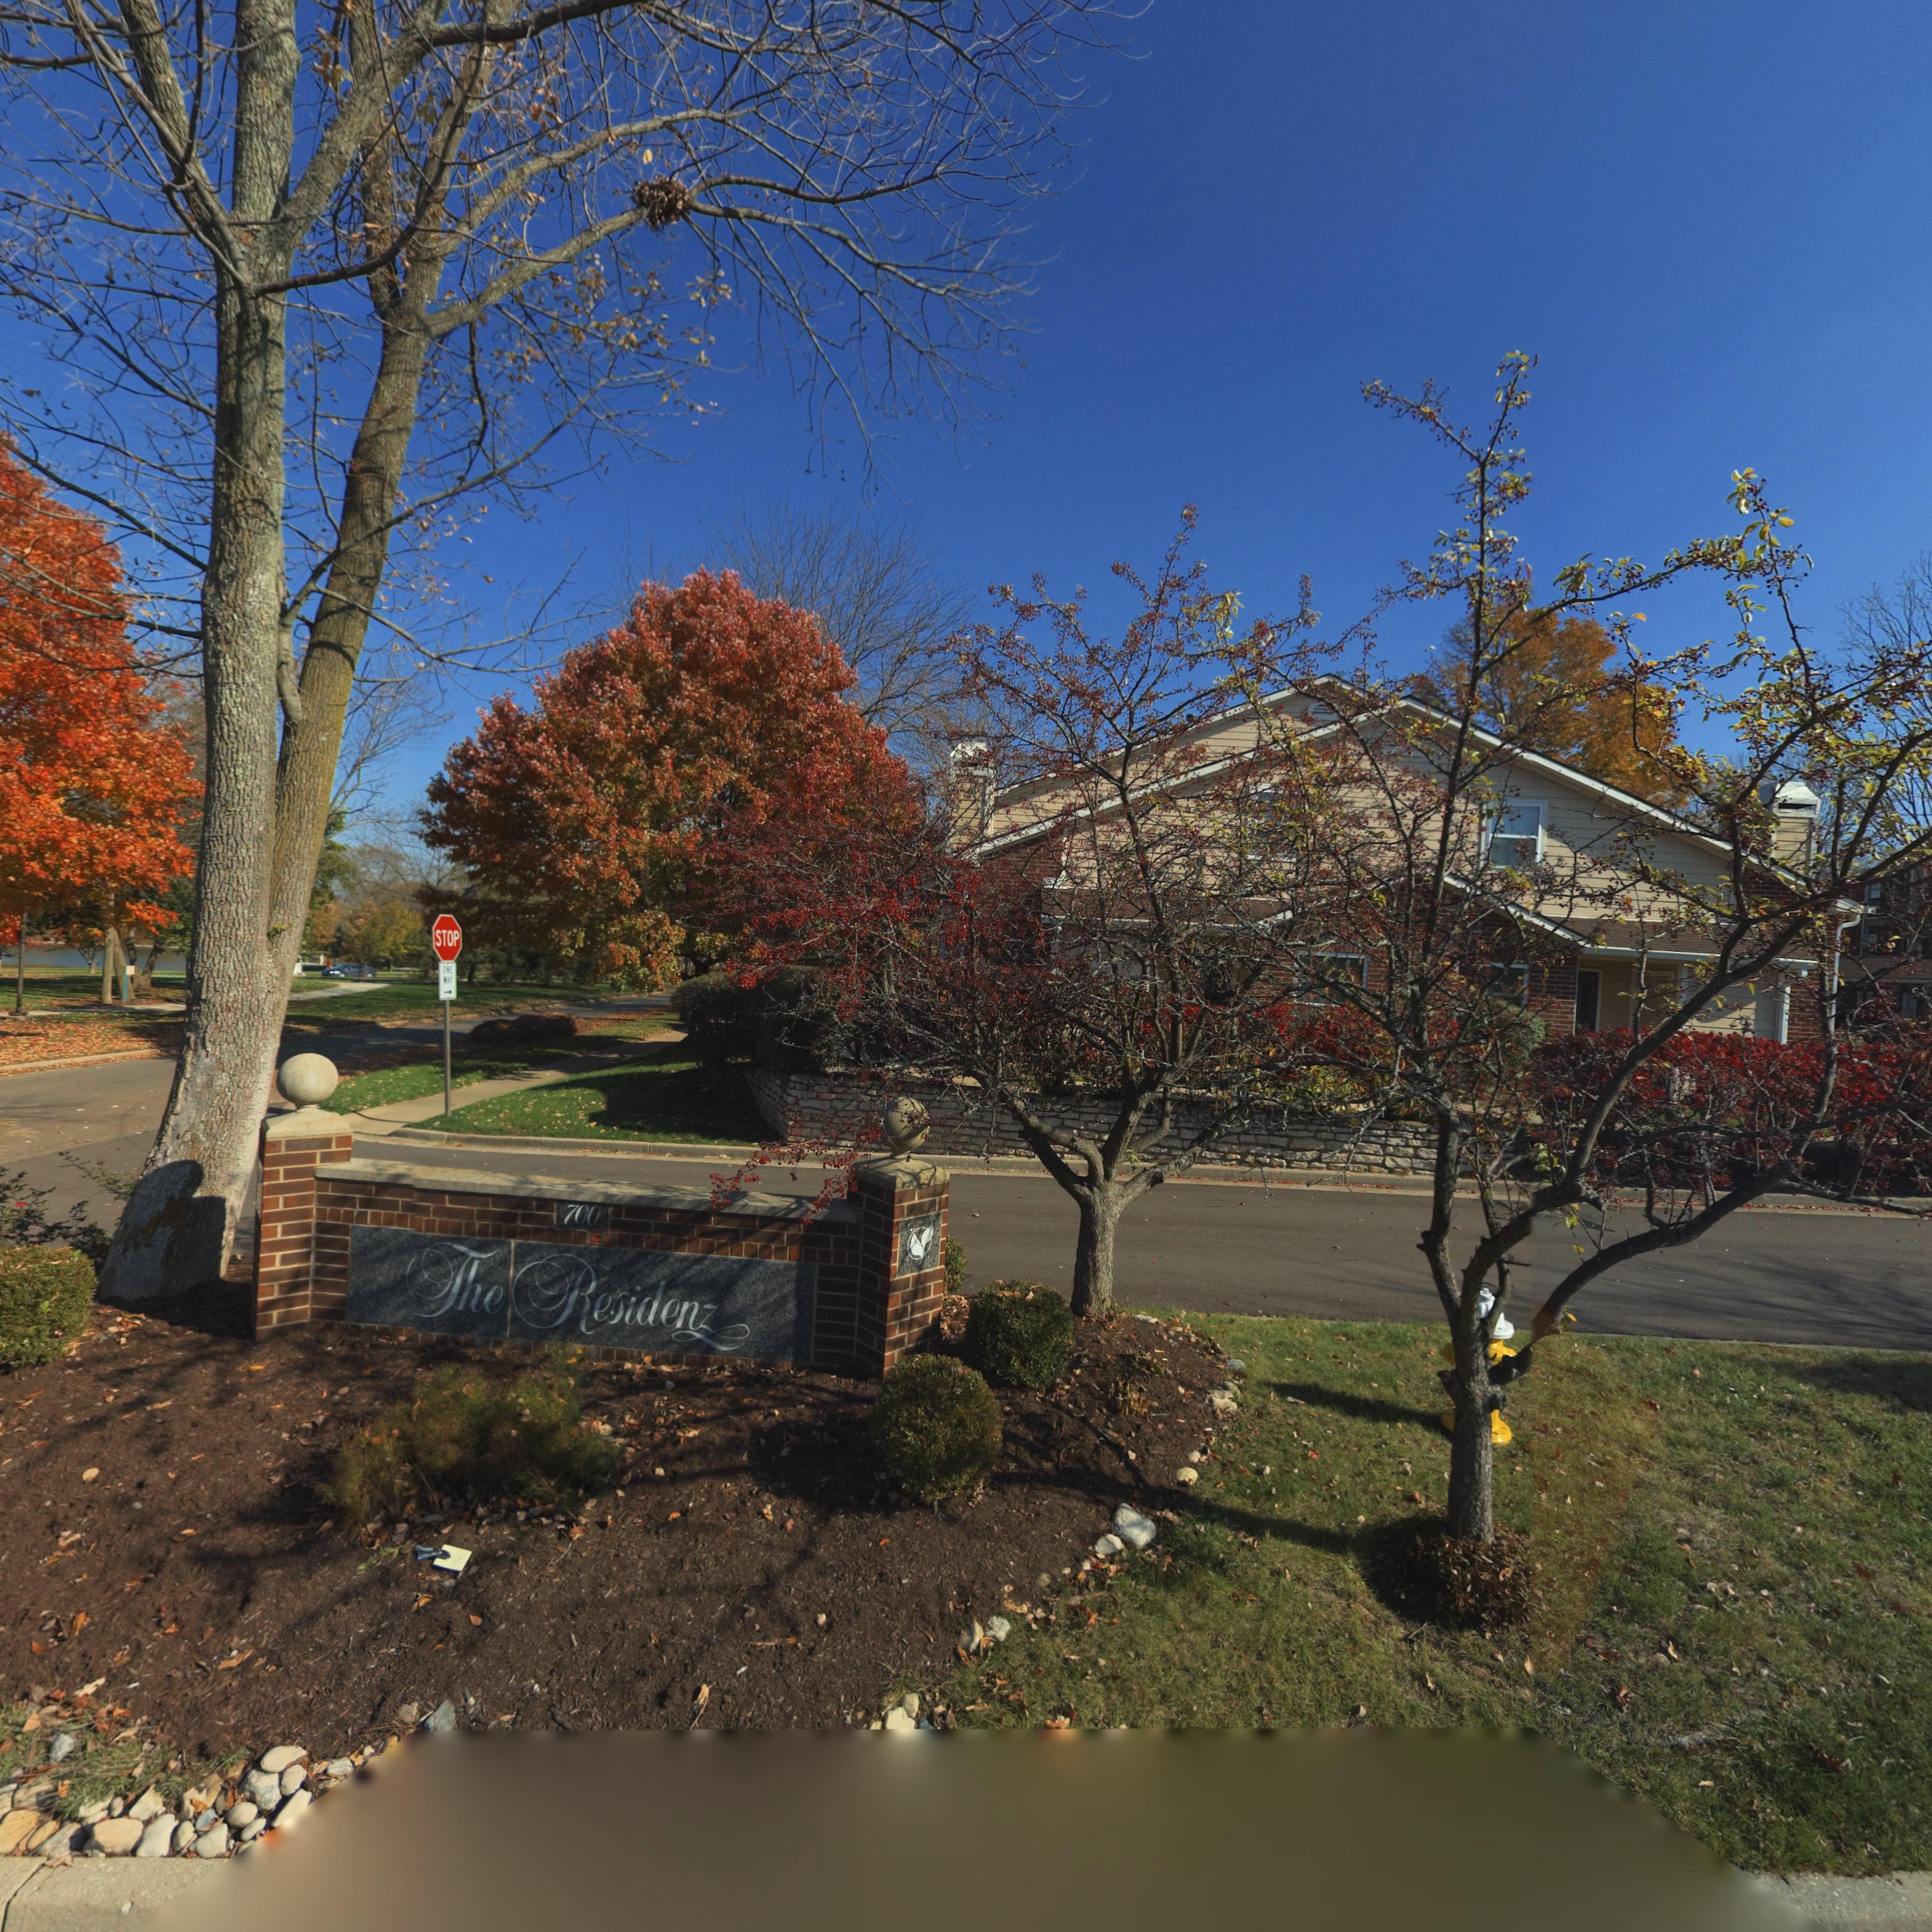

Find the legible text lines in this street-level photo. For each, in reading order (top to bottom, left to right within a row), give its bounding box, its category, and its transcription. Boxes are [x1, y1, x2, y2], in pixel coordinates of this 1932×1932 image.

[434, 927, 461, 949] None: STOP
[561, 1202, 604, 1227] StreetNumber: 700
[401, 1237, 754, 1355] None: The Residenz